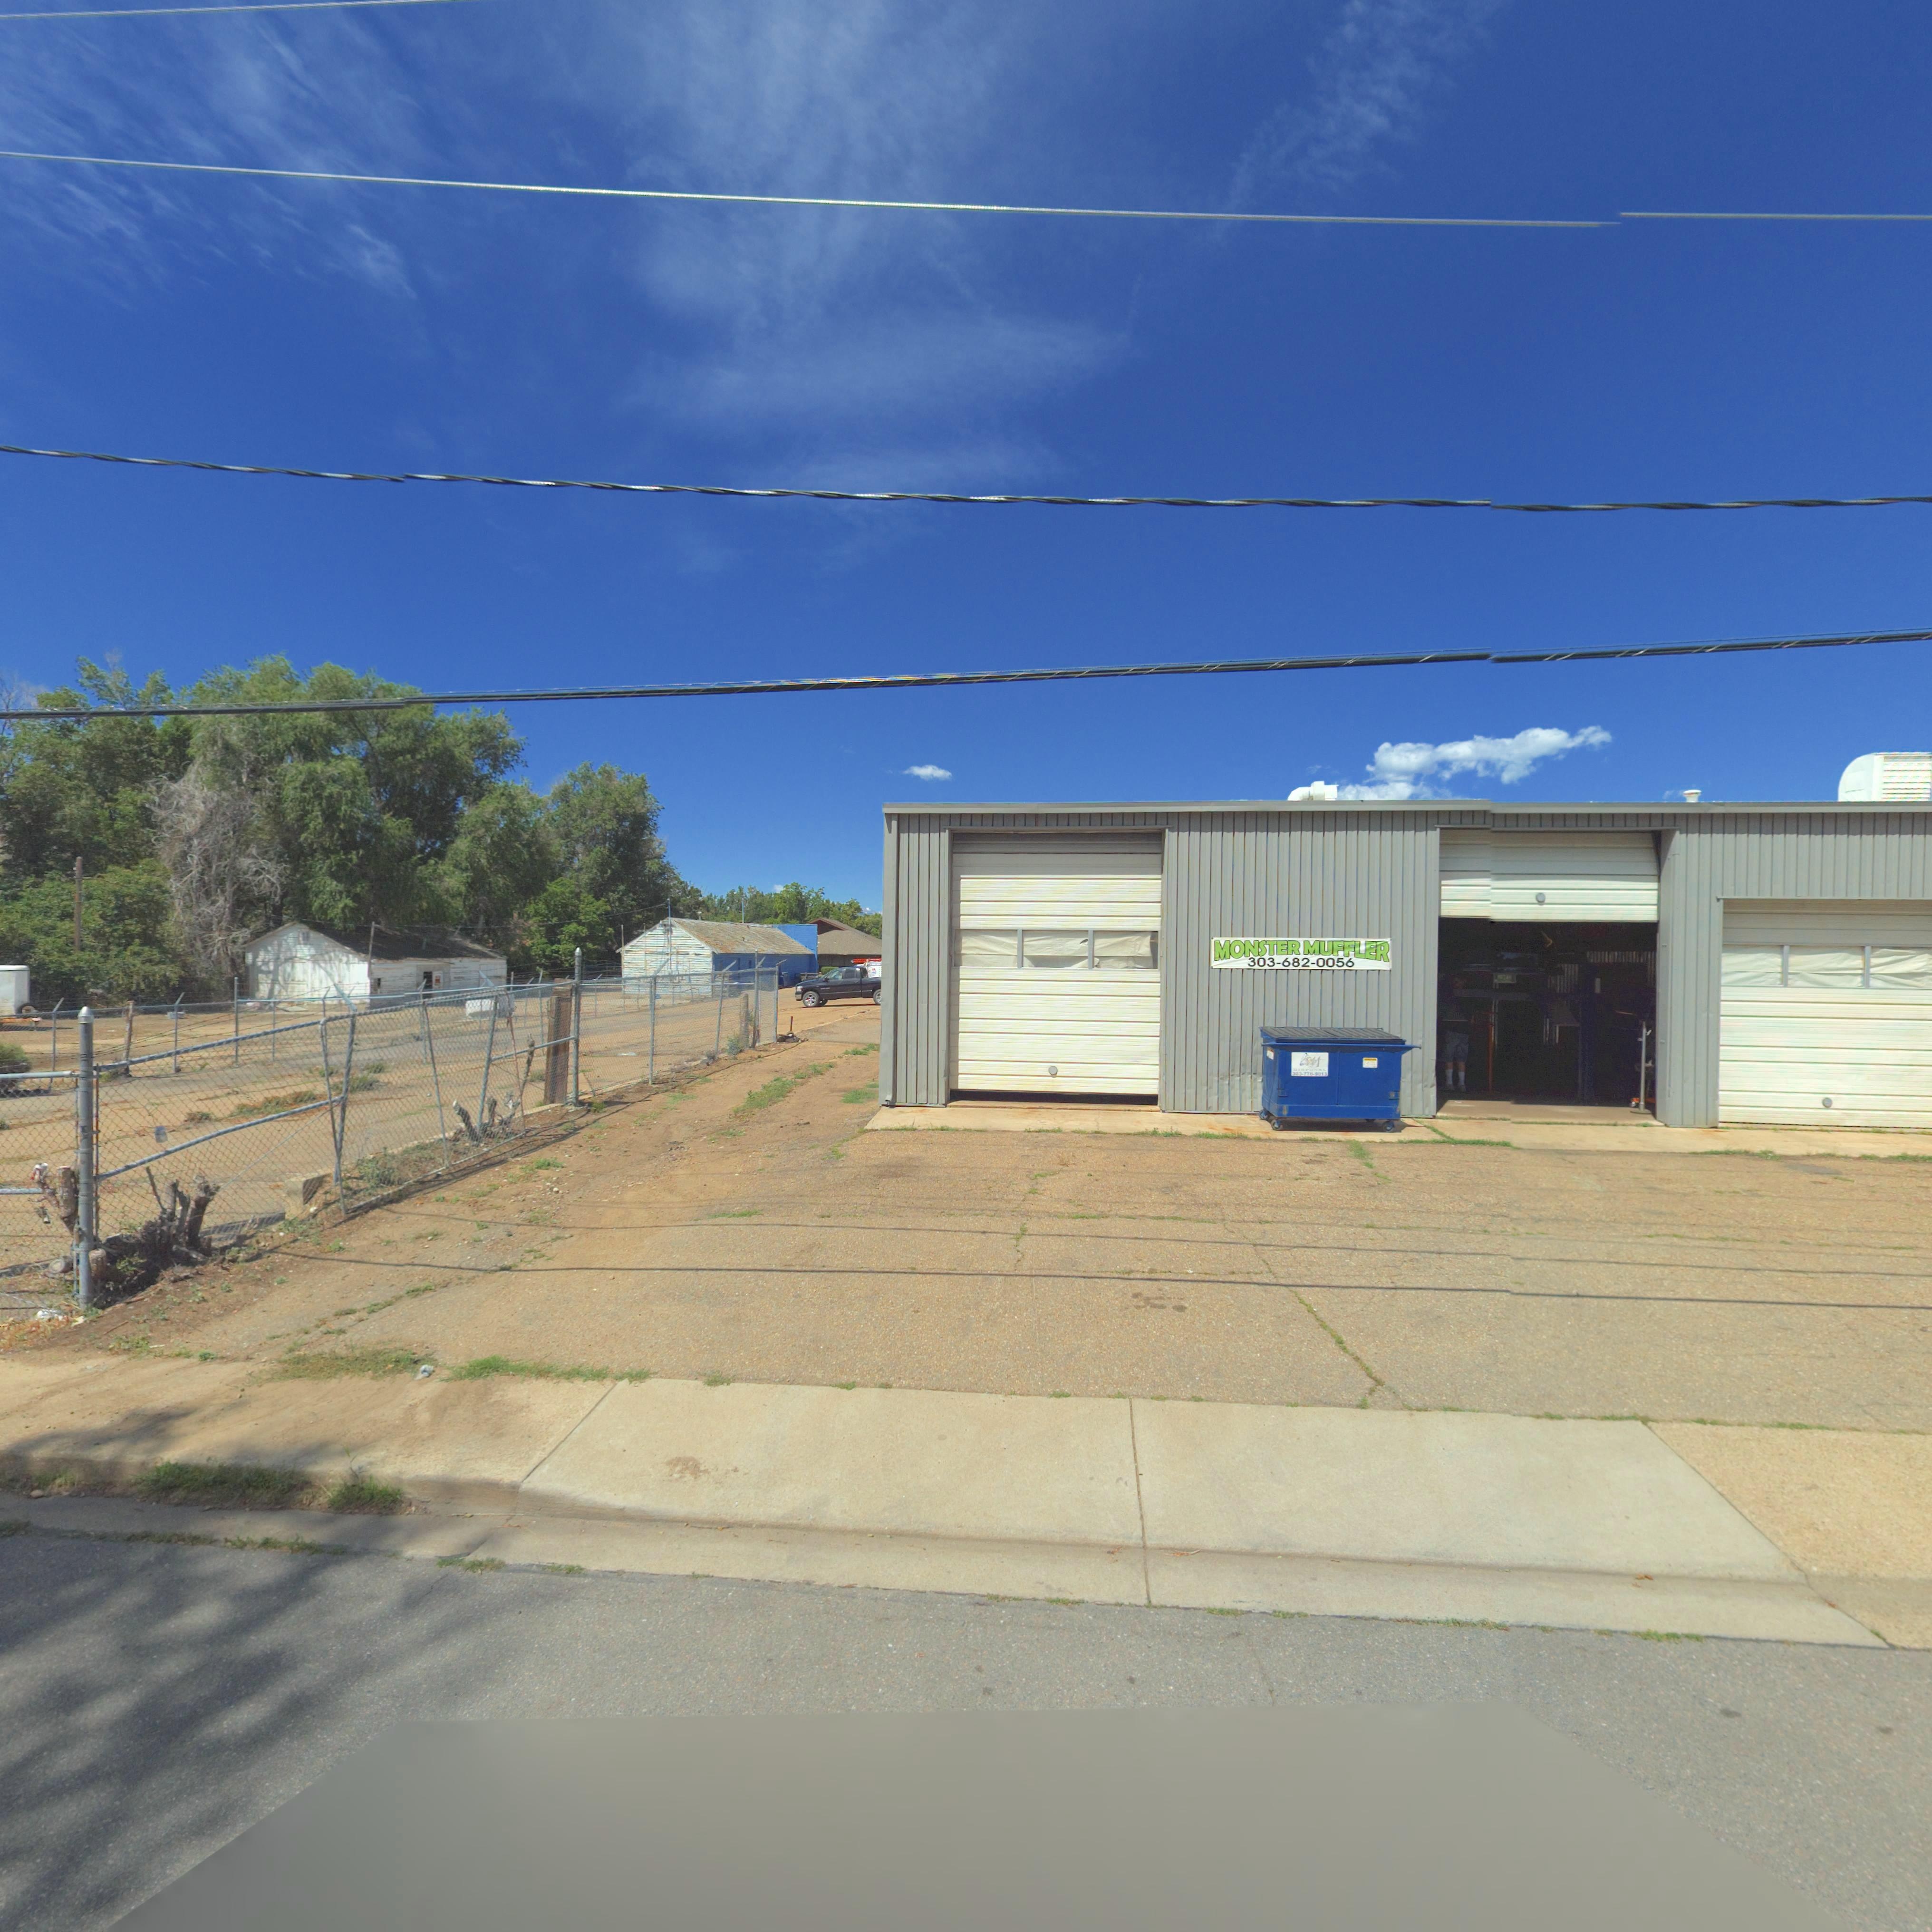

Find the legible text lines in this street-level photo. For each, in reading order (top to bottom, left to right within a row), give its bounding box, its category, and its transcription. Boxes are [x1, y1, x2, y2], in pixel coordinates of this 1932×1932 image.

[1213, 939, 1391, 963] BusinessName: MONSTER MUFFLER